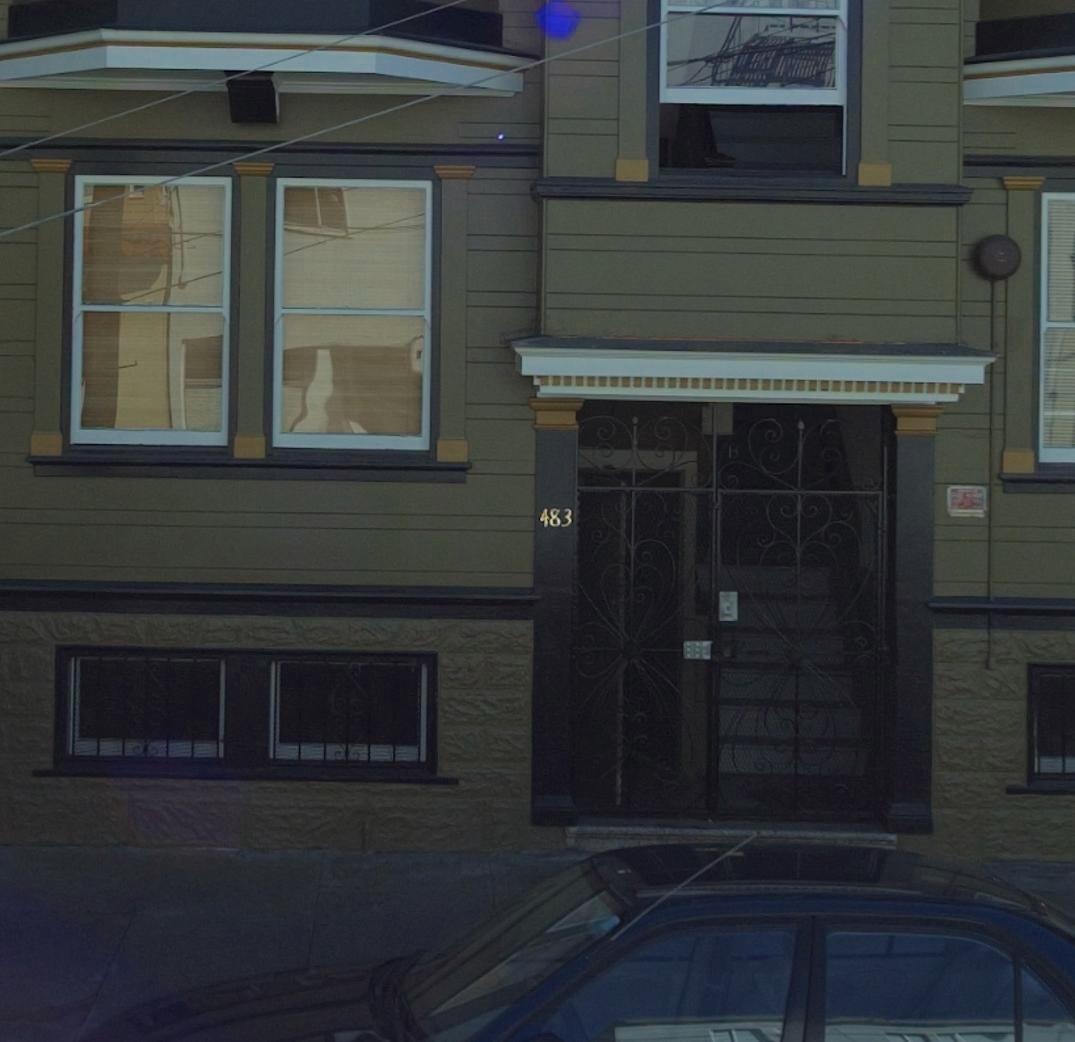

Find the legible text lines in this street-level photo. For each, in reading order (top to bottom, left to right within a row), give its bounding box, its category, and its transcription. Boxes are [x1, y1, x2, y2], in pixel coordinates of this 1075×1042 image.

[538, 504, 574, 529] StreetNumber: 483